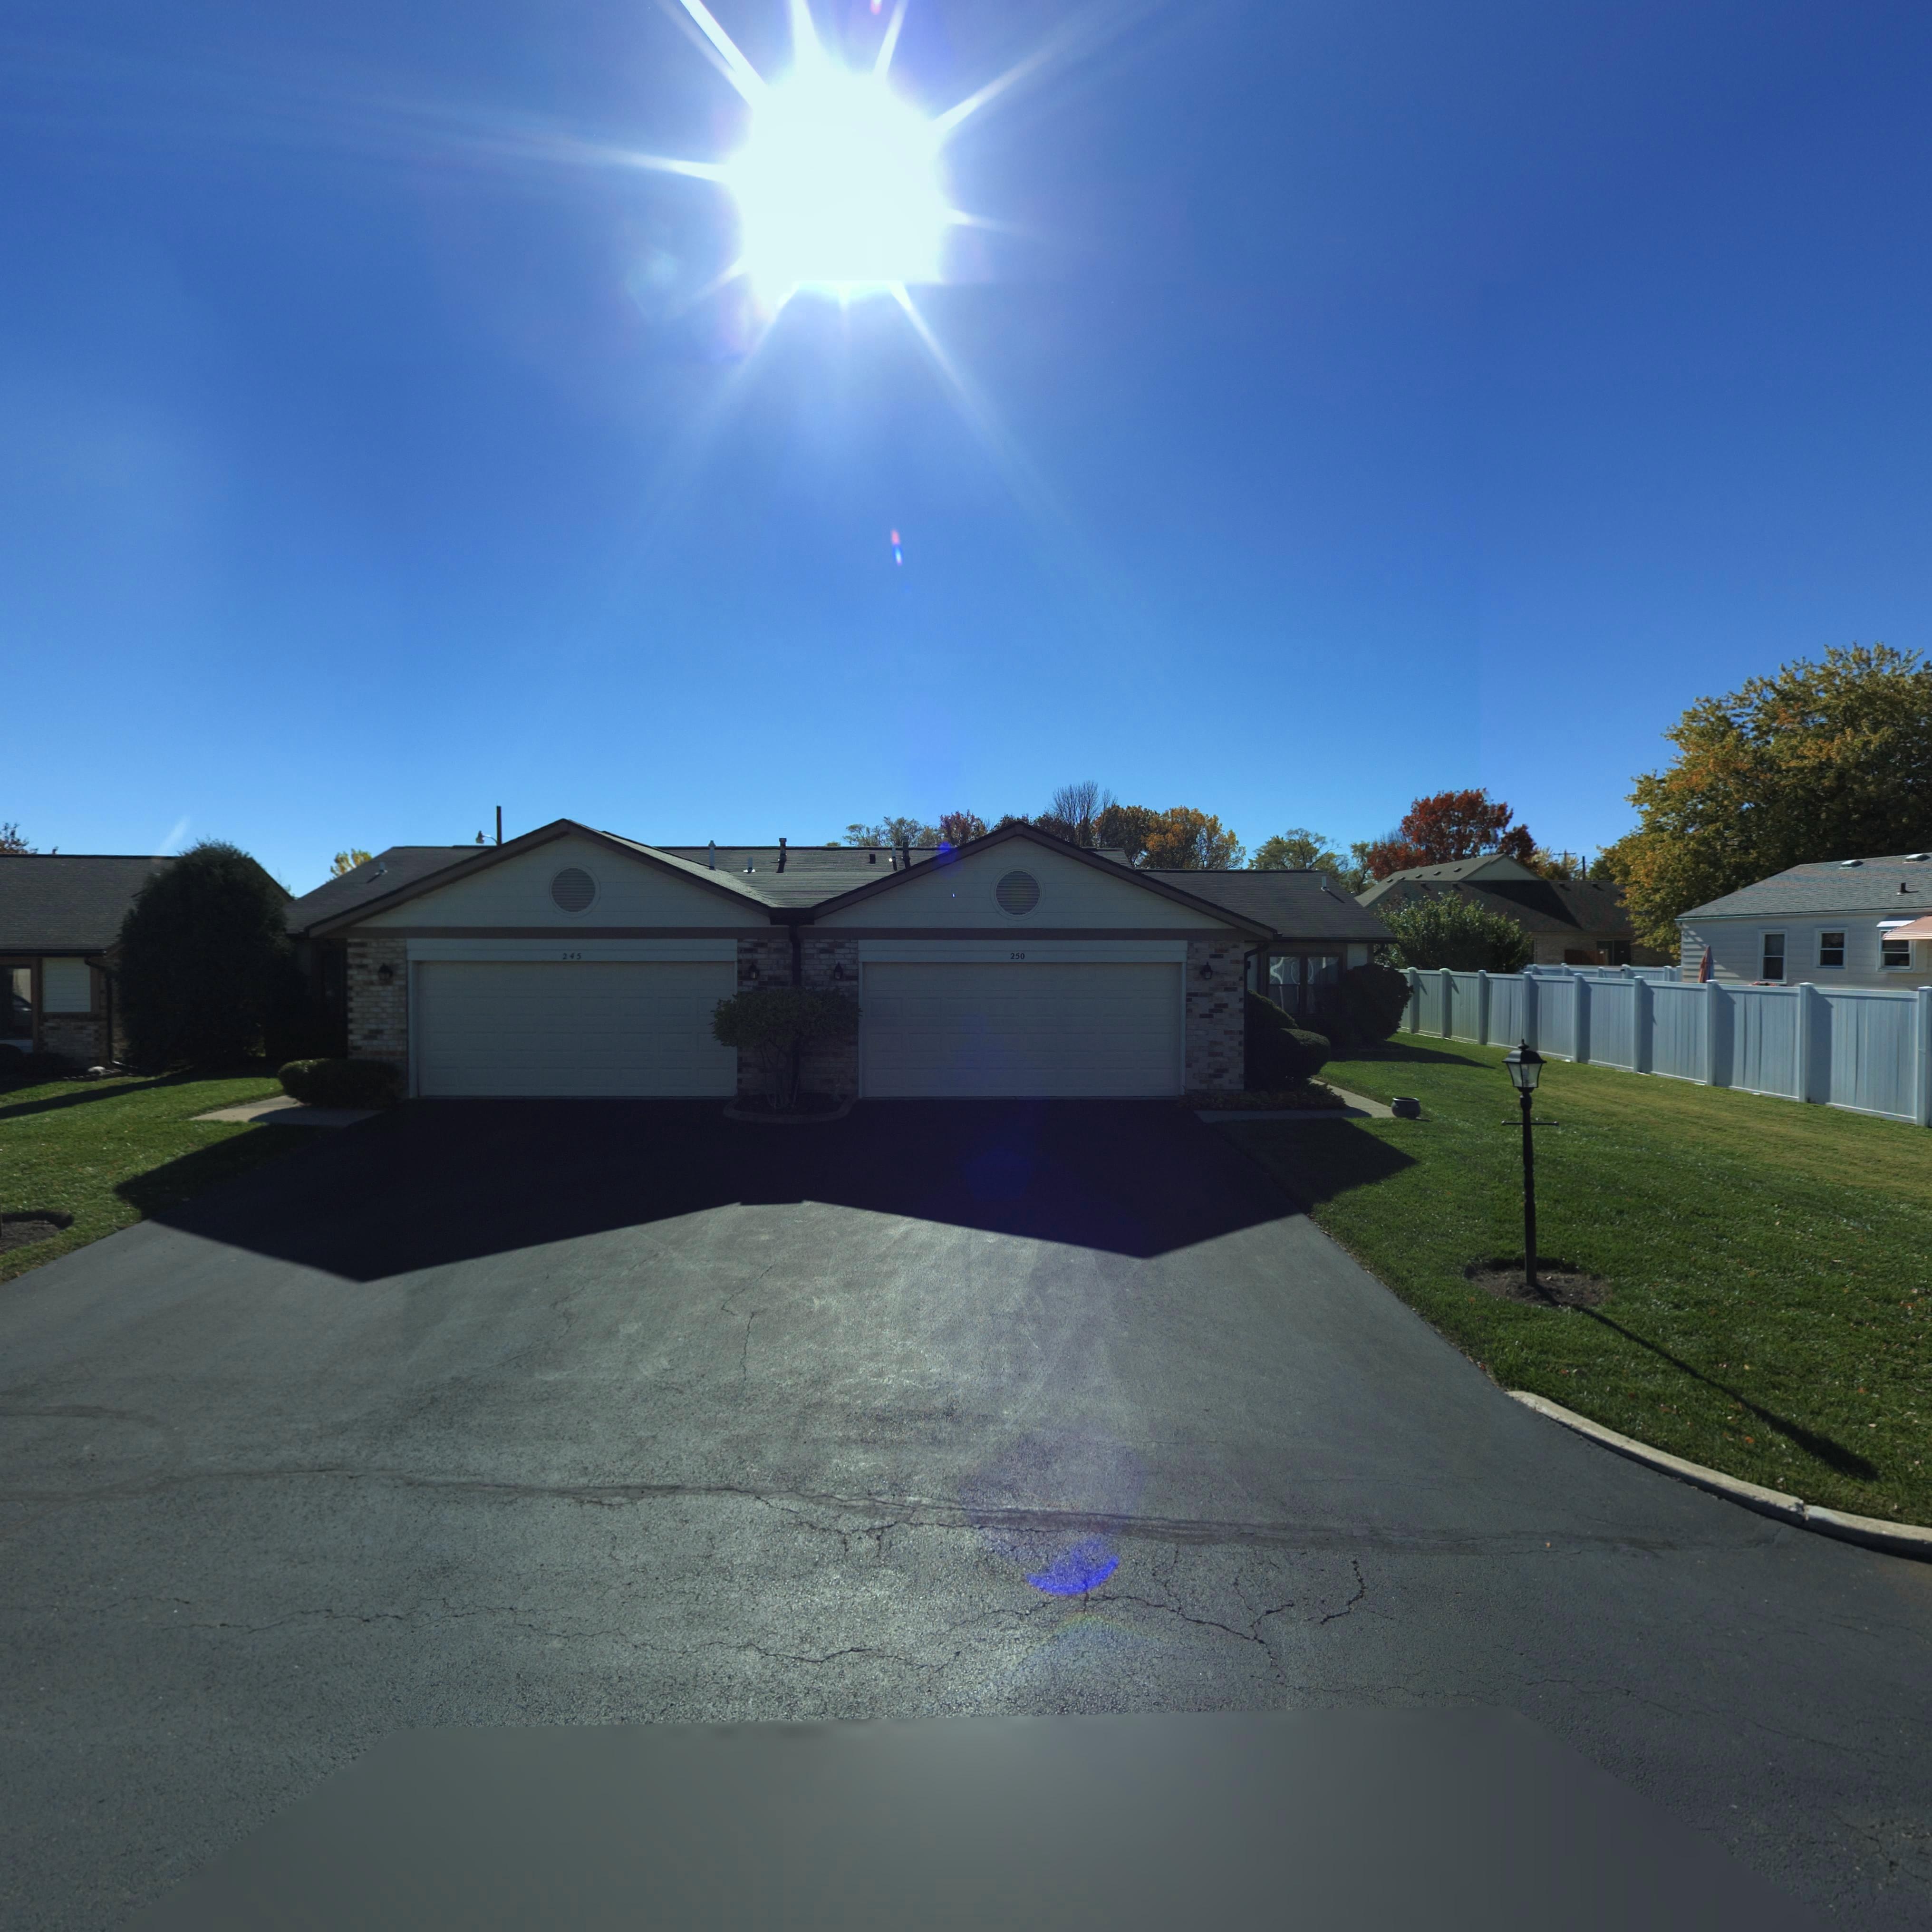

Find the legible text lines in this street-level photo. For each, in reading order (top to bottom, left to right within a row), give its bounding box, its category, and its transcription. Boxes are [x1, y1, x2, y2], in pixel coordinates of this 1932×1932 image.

[561, 952, 582, 960] StreetNumber: 245
[1010, 952, 1025, 960] StreetNumber: 250